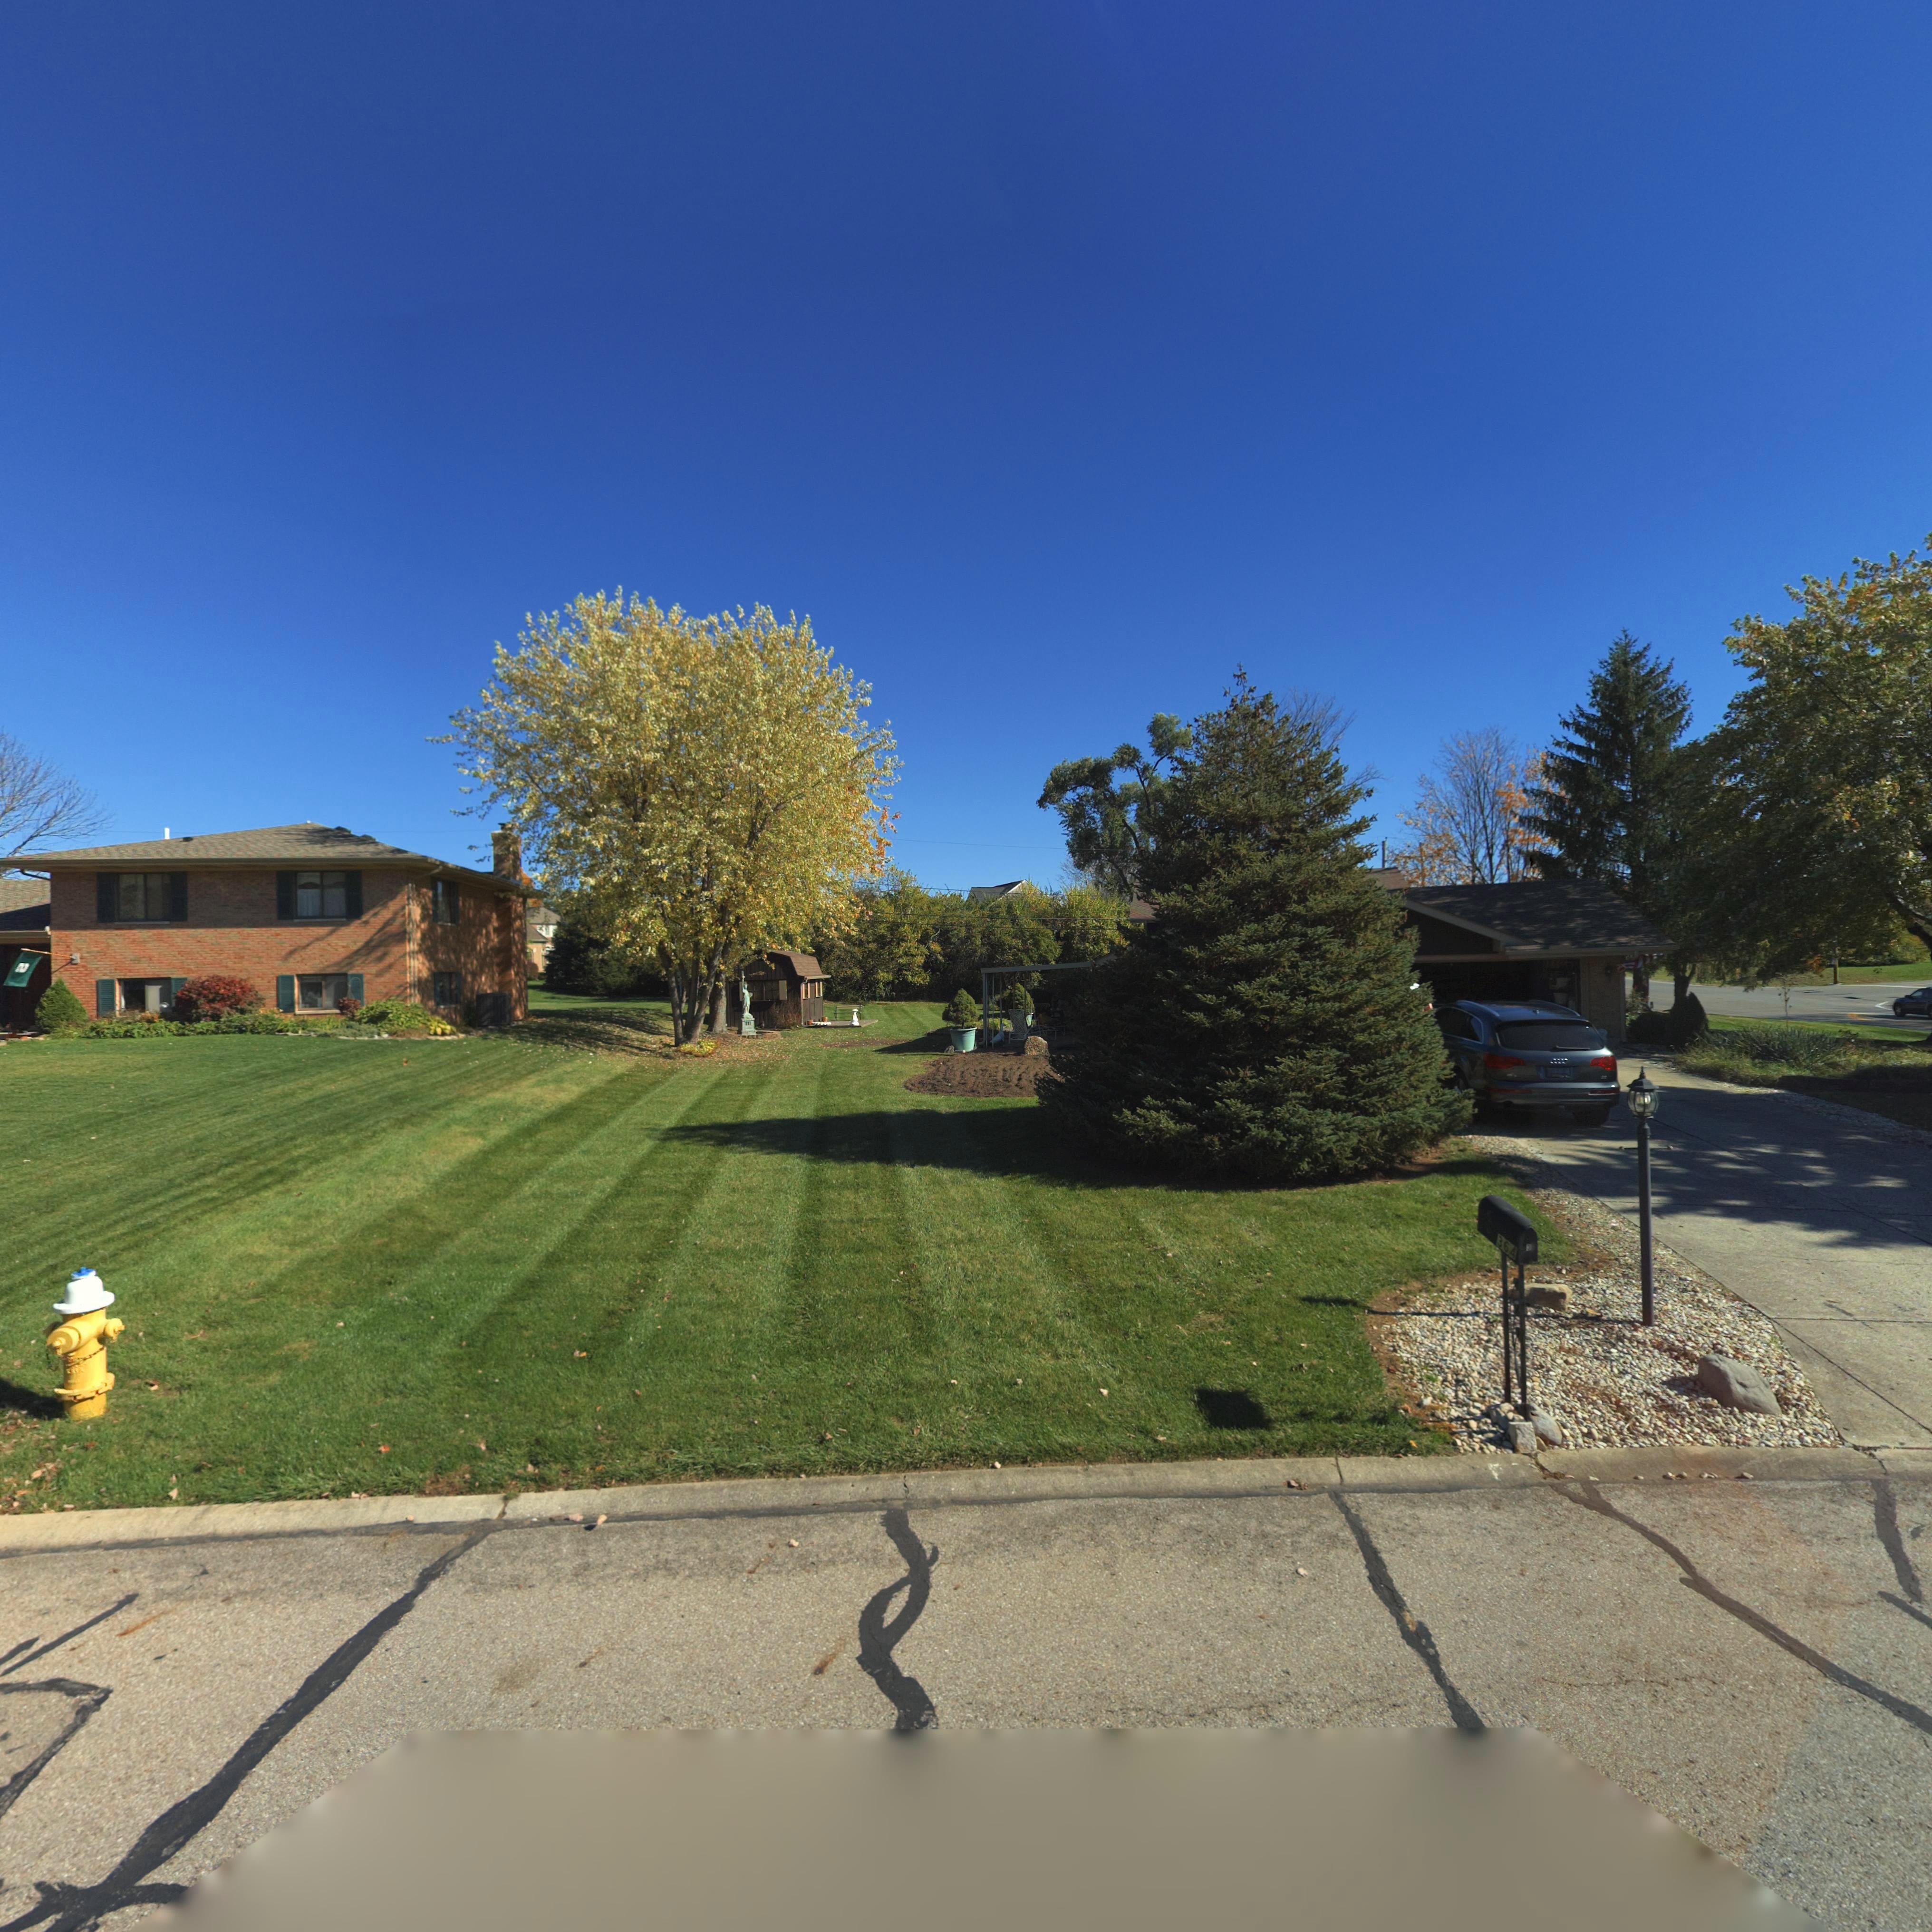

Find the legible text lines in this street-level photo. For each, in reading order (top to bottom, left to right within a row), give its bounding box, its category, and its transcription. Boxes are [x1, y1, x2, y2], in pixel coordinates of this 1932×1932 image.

[1496, 1233, 1517, 1260] StreetNumber: 364